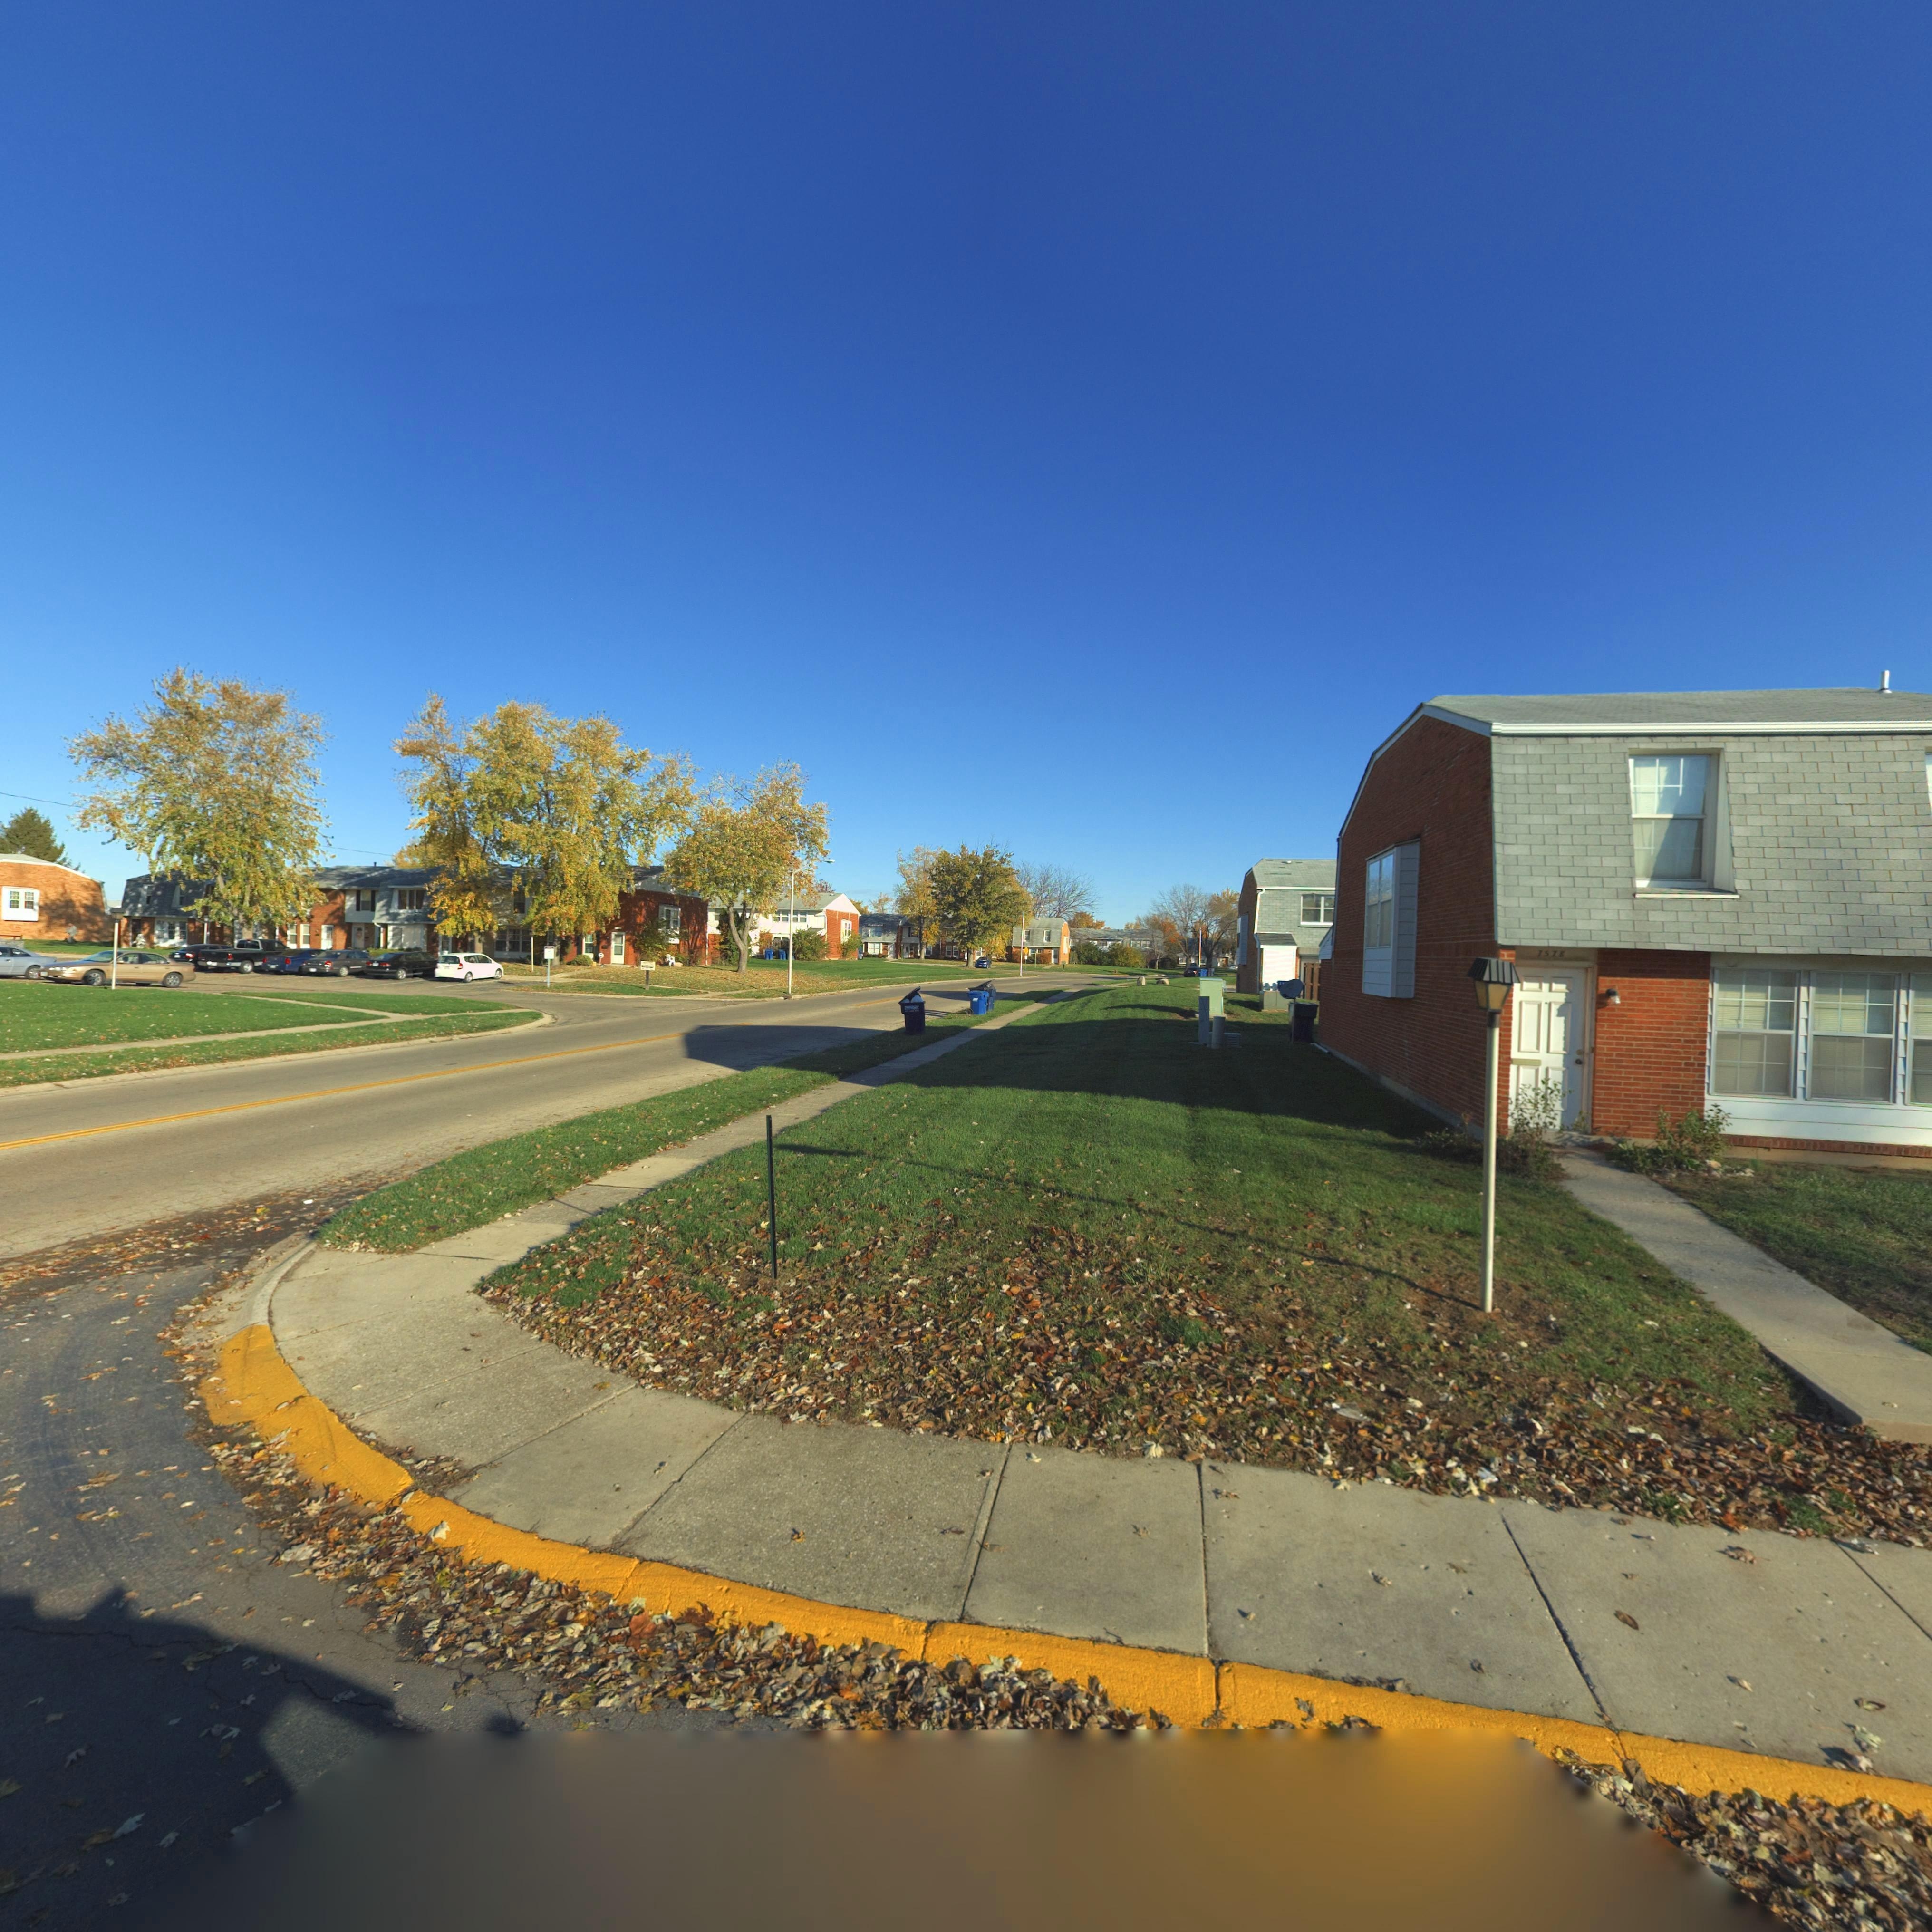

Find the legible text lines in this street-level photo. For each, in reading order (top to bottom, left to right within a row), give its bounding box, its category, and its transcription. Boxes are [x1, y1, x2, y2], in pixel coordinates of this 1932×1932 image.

[1536, 949, 1566, 958] StreetNumber: 7578